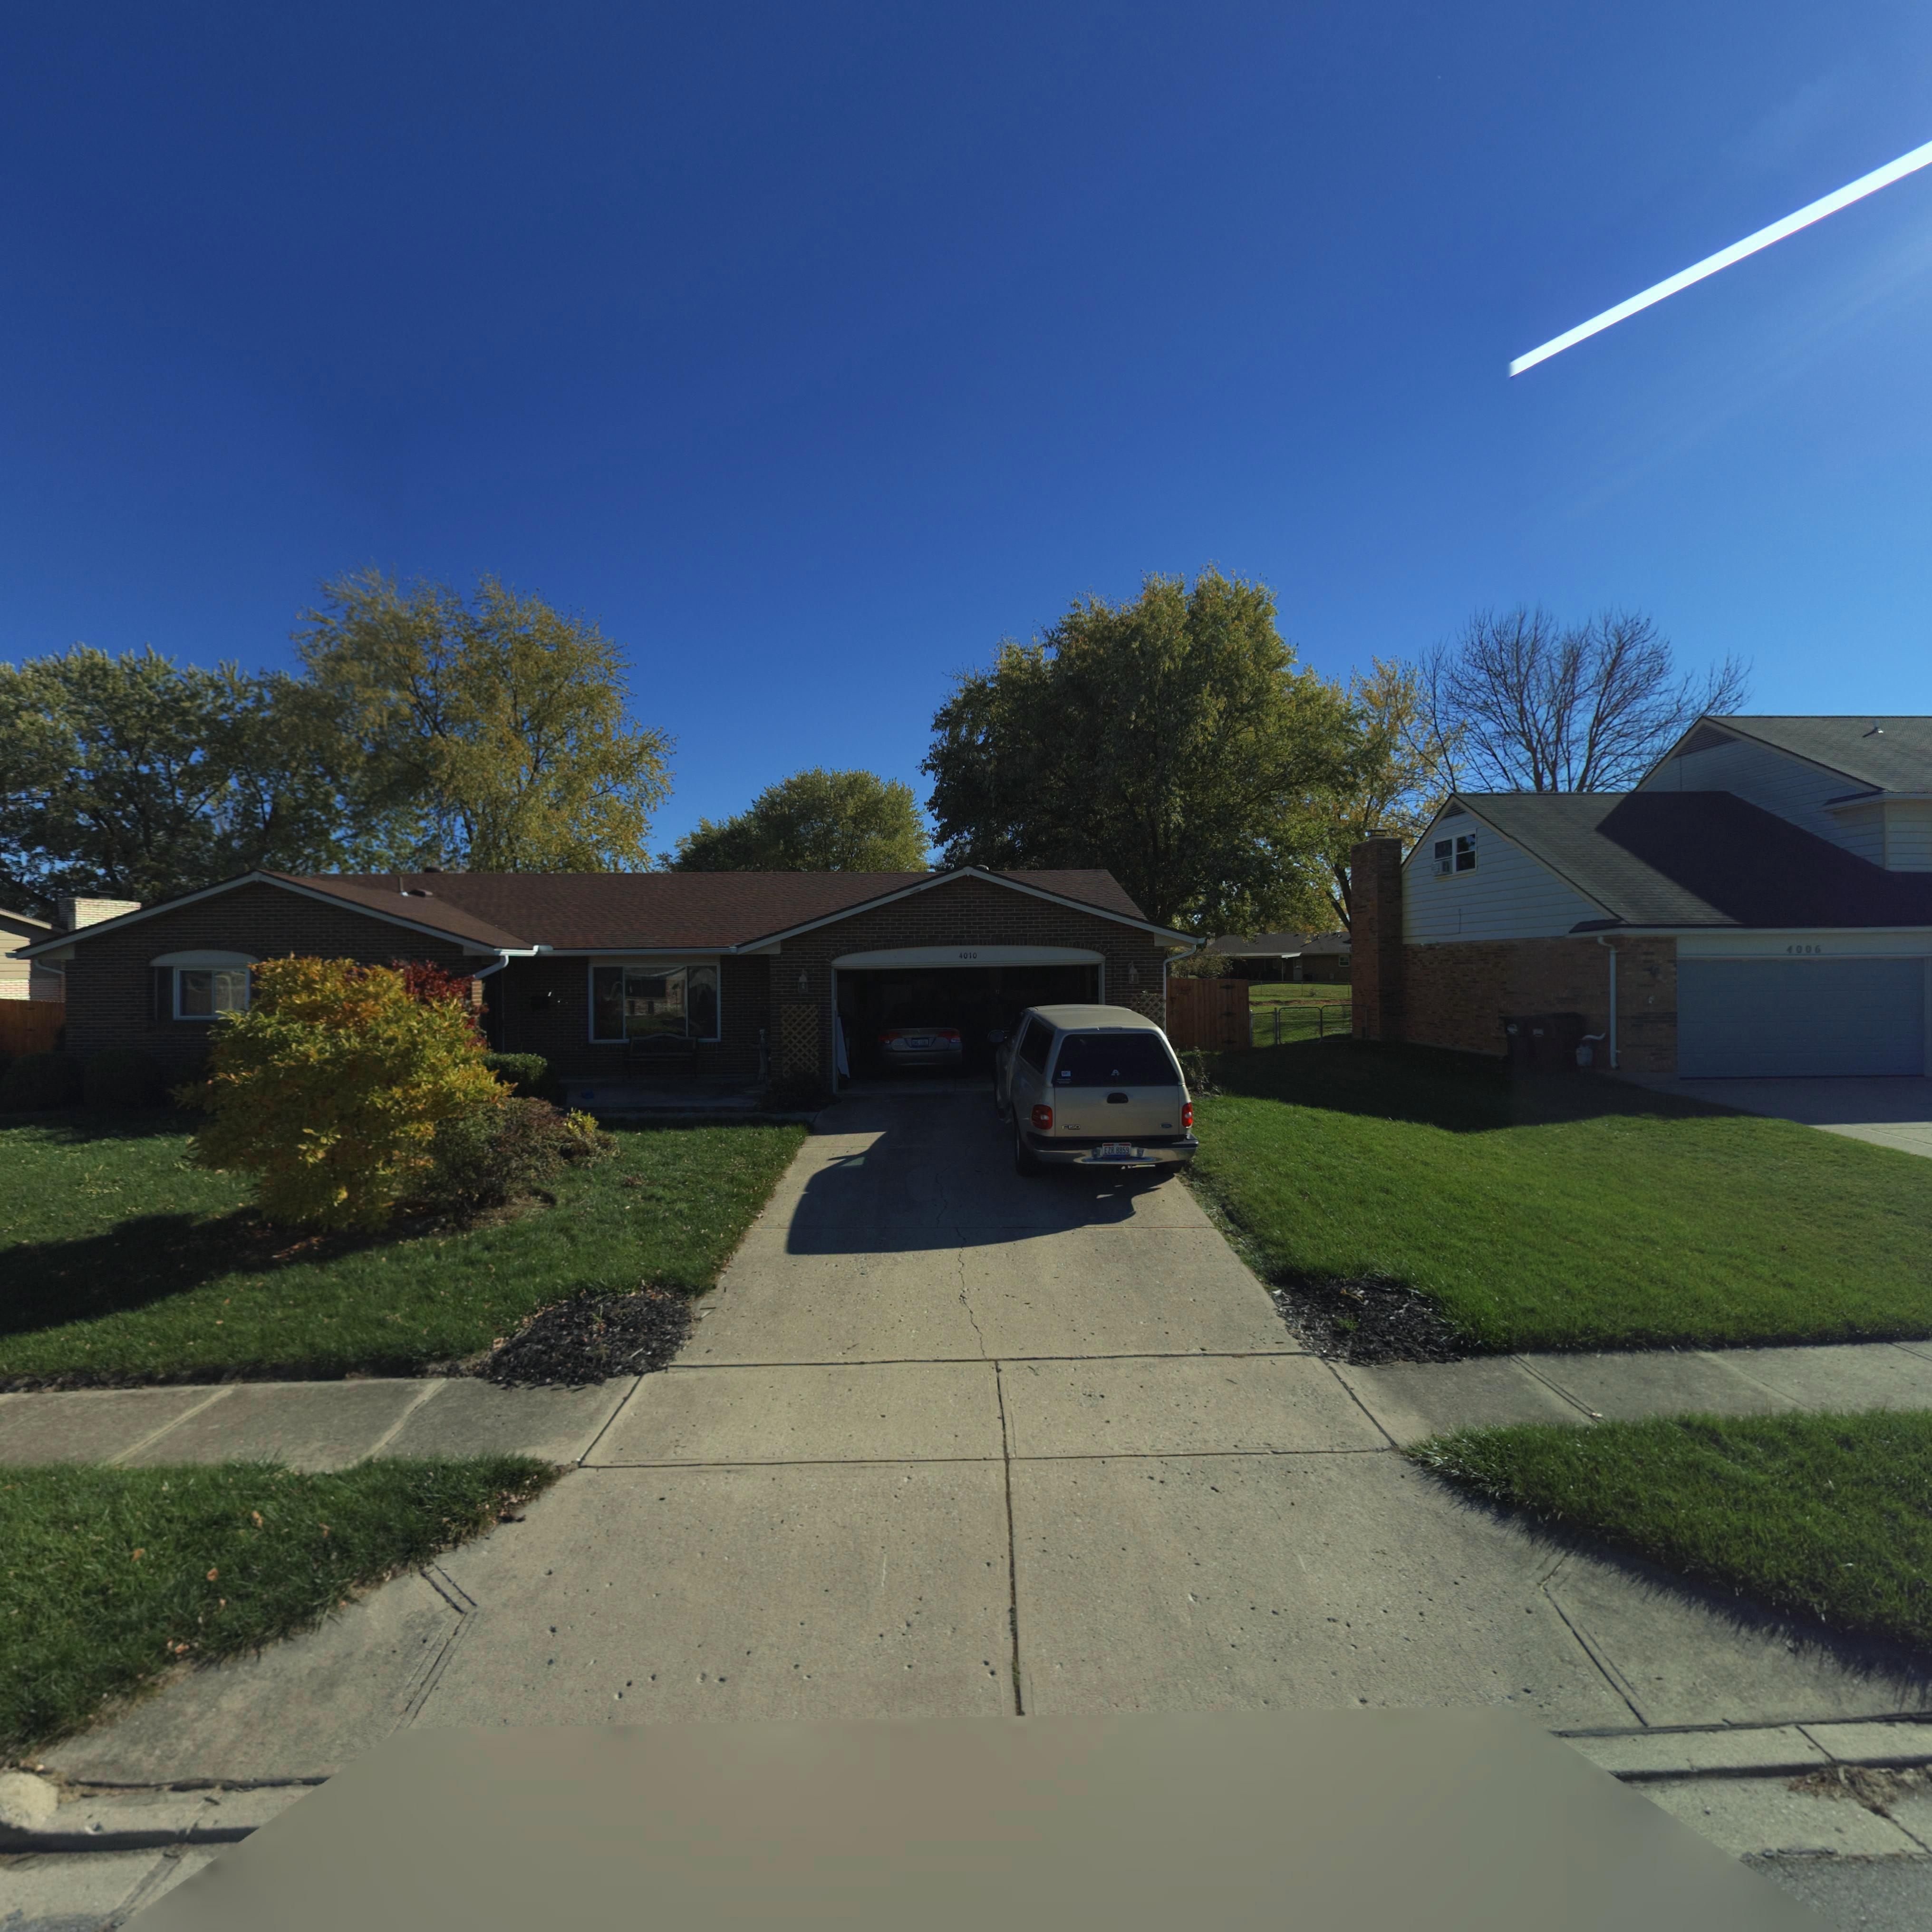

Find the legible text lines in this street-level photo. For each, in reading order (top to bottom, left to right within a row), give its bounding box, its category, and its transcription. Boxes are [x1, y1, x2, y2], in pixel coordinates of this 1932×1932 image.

[1786, 944, 1821, 954] StreetNumber: 4006
[958, 952, 977, 959] StreetNumber: 4010